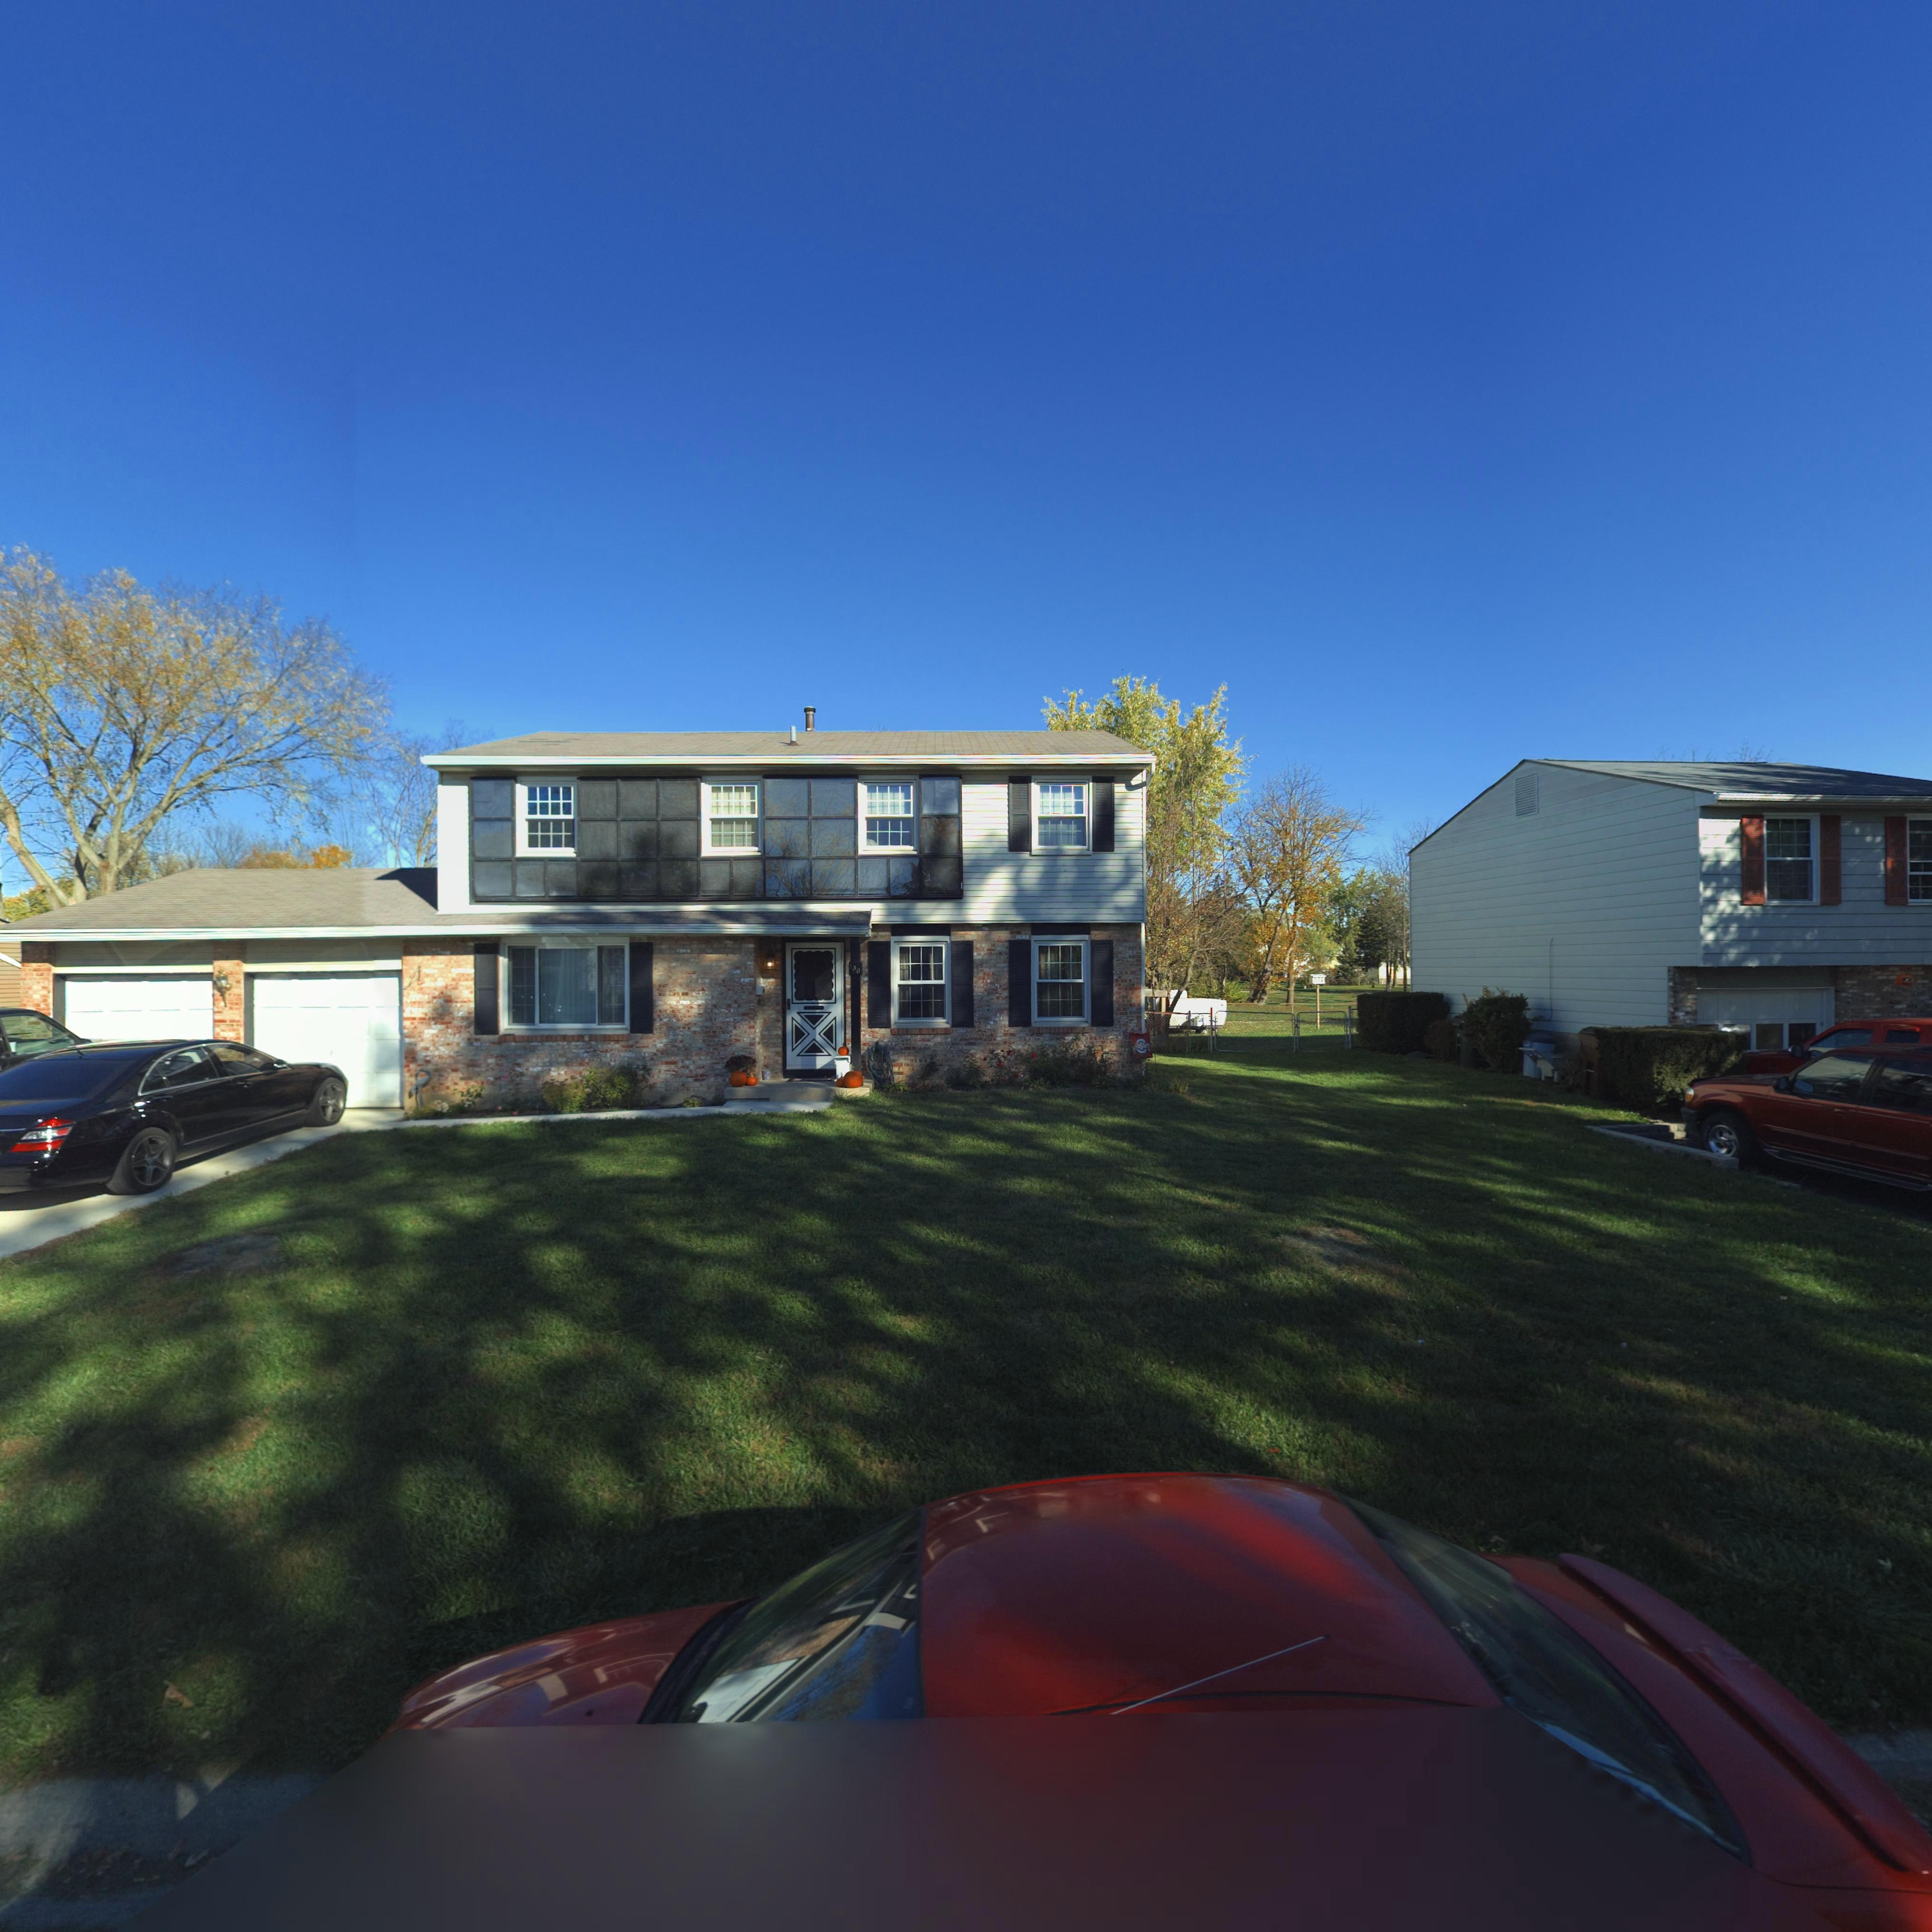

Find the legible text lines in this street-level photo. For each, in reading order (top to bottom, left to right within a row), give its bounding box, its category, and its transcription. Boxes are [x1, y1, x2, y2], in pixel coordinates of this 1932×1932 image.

[849, 962, 860, 975] StreetNumber: 136